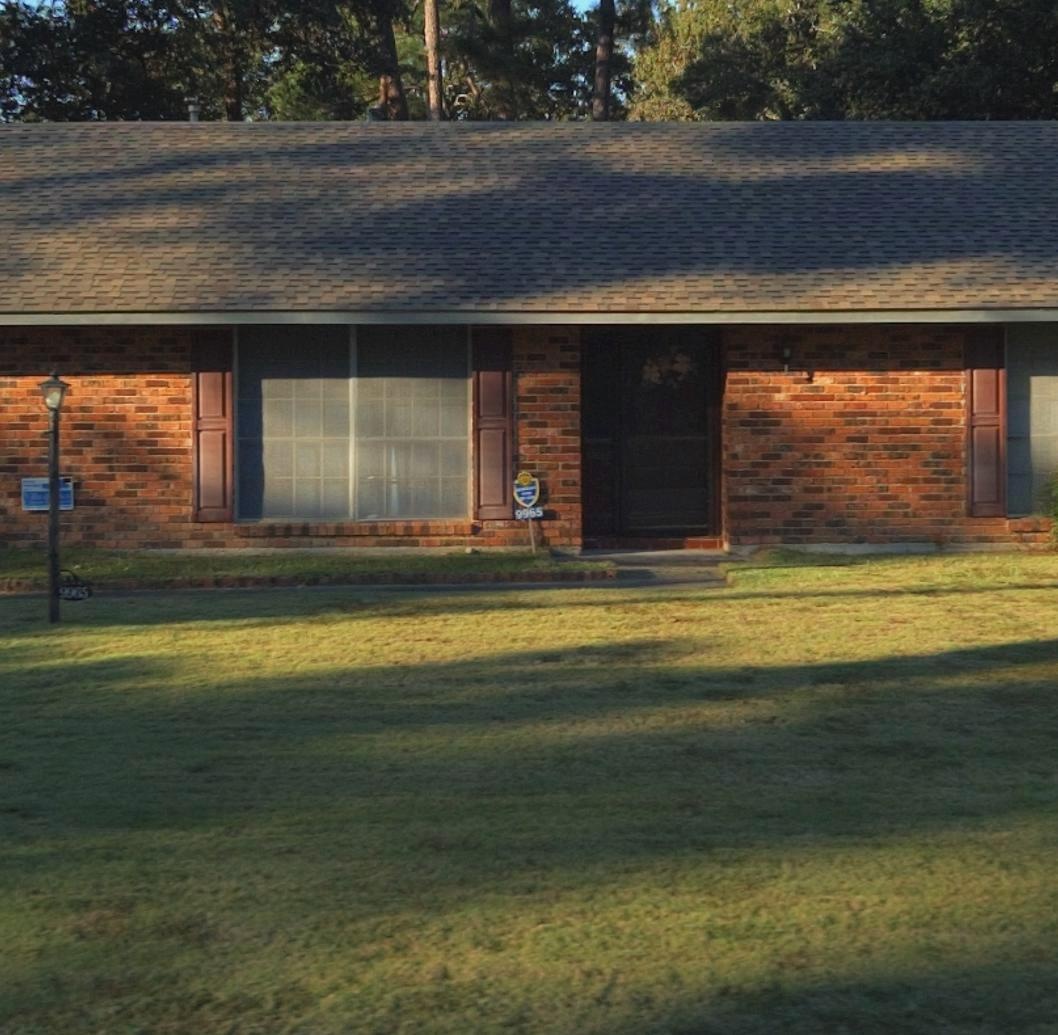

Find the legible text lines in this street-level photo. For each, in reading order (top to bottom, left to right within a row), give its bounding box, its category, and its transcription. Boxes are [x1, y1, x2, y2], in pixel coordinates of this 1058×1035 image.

[514, 505, 545, 521] StreetNumber: 9965
[57, 585, 90, 599] StreetNumber: 9965